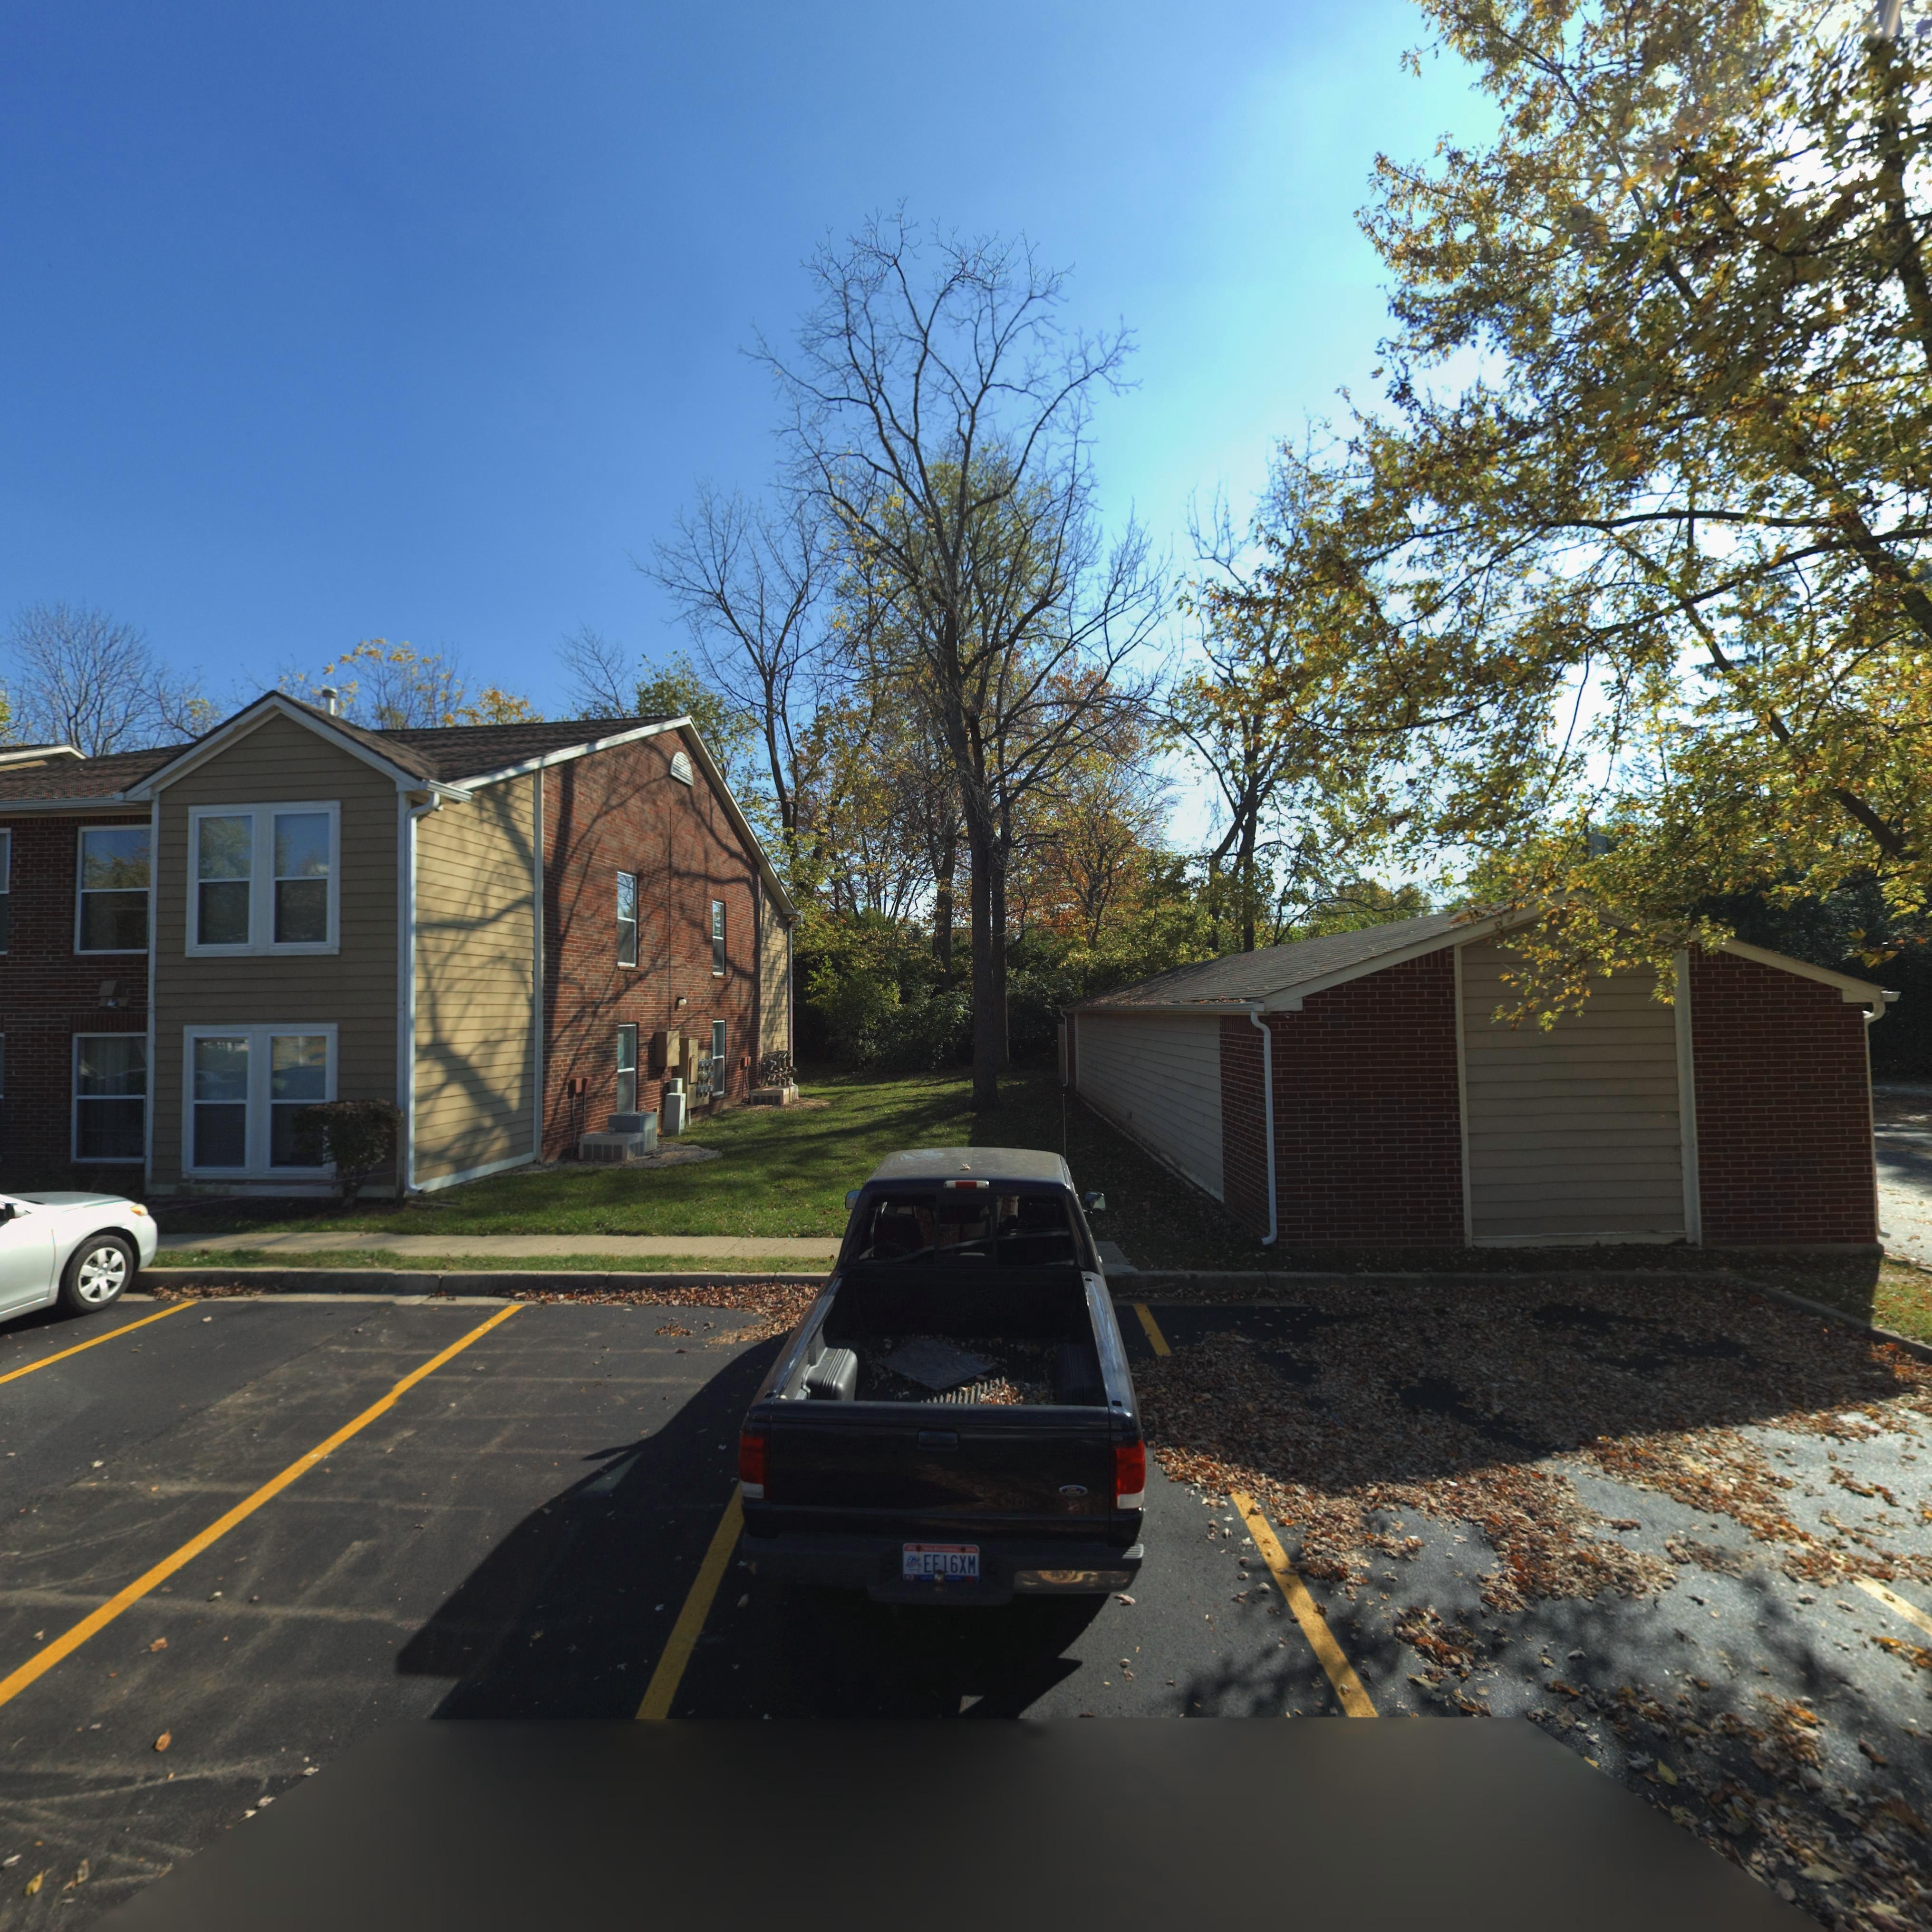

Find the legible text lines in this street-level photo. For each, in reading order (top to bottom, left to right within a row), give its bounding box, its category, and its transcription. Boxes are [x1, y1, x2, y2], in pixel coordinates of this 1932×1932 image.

[922, 1553, 976, 1575] None: E*16XM